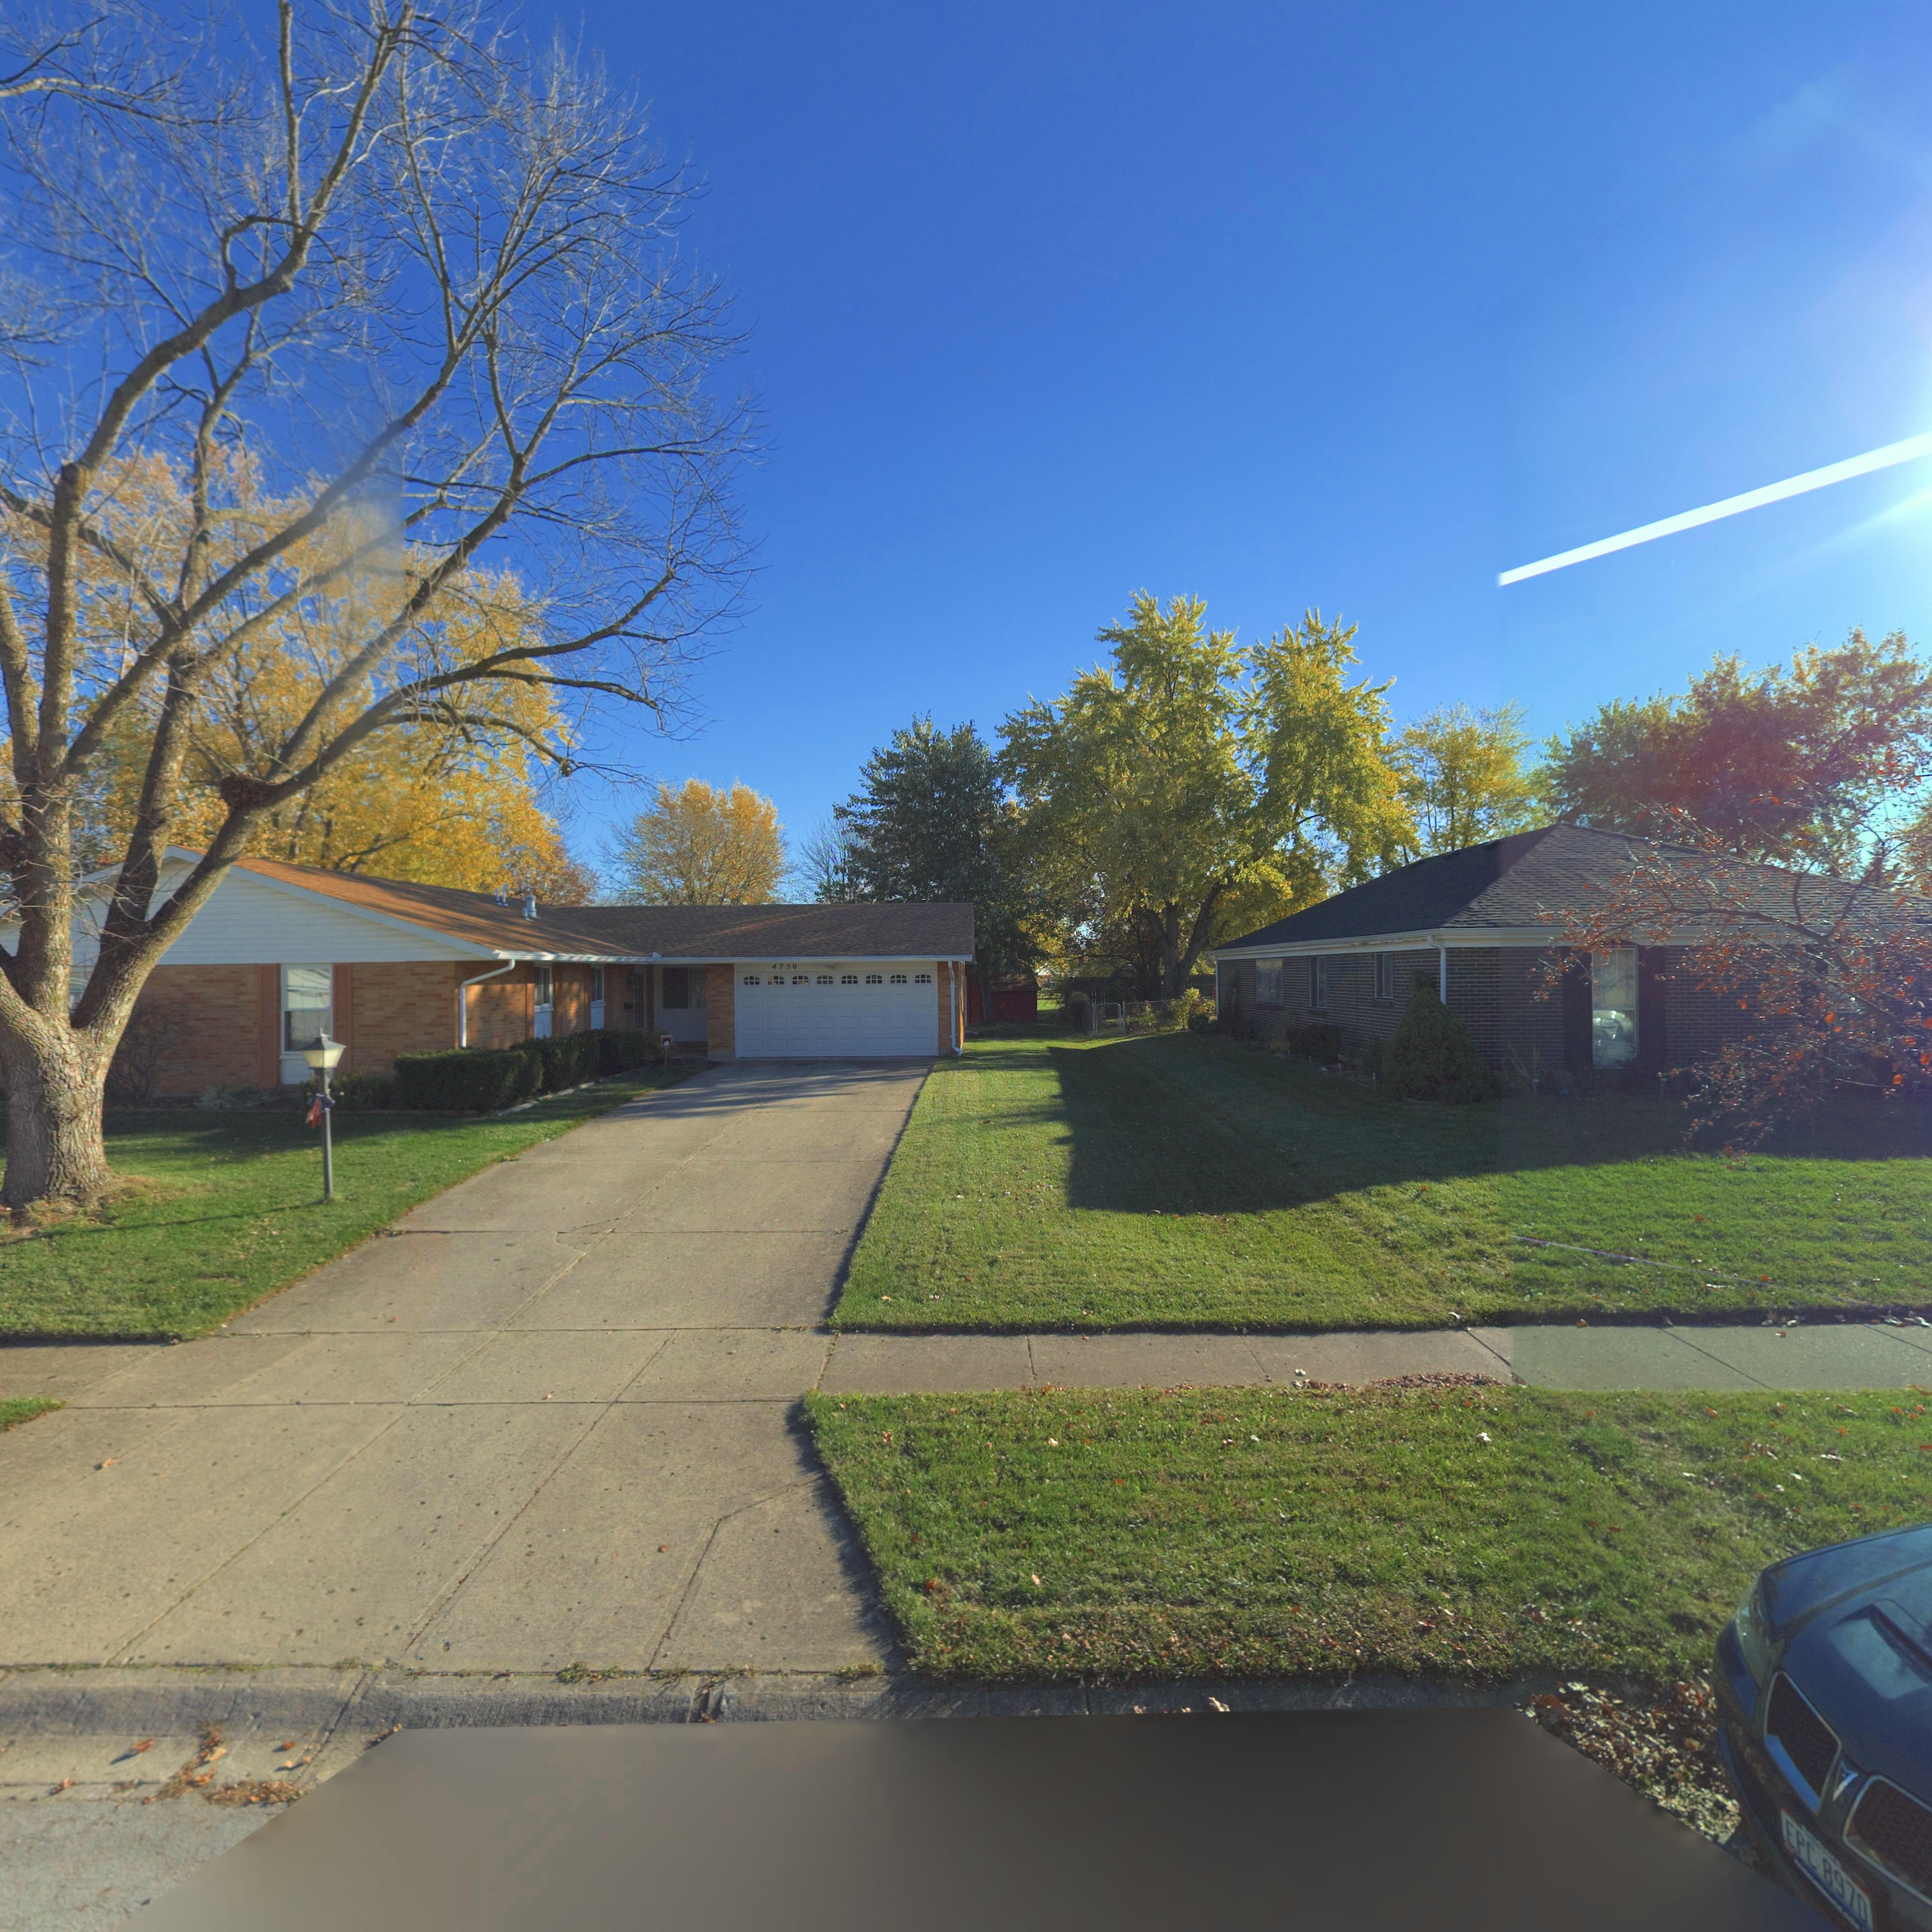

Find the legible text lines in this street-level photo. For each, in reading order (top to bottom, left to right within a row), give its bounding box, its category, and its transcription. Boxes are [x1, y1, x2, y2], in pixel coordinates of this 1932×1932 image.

[771, 962, 798, 971] StreetNumber: 4750